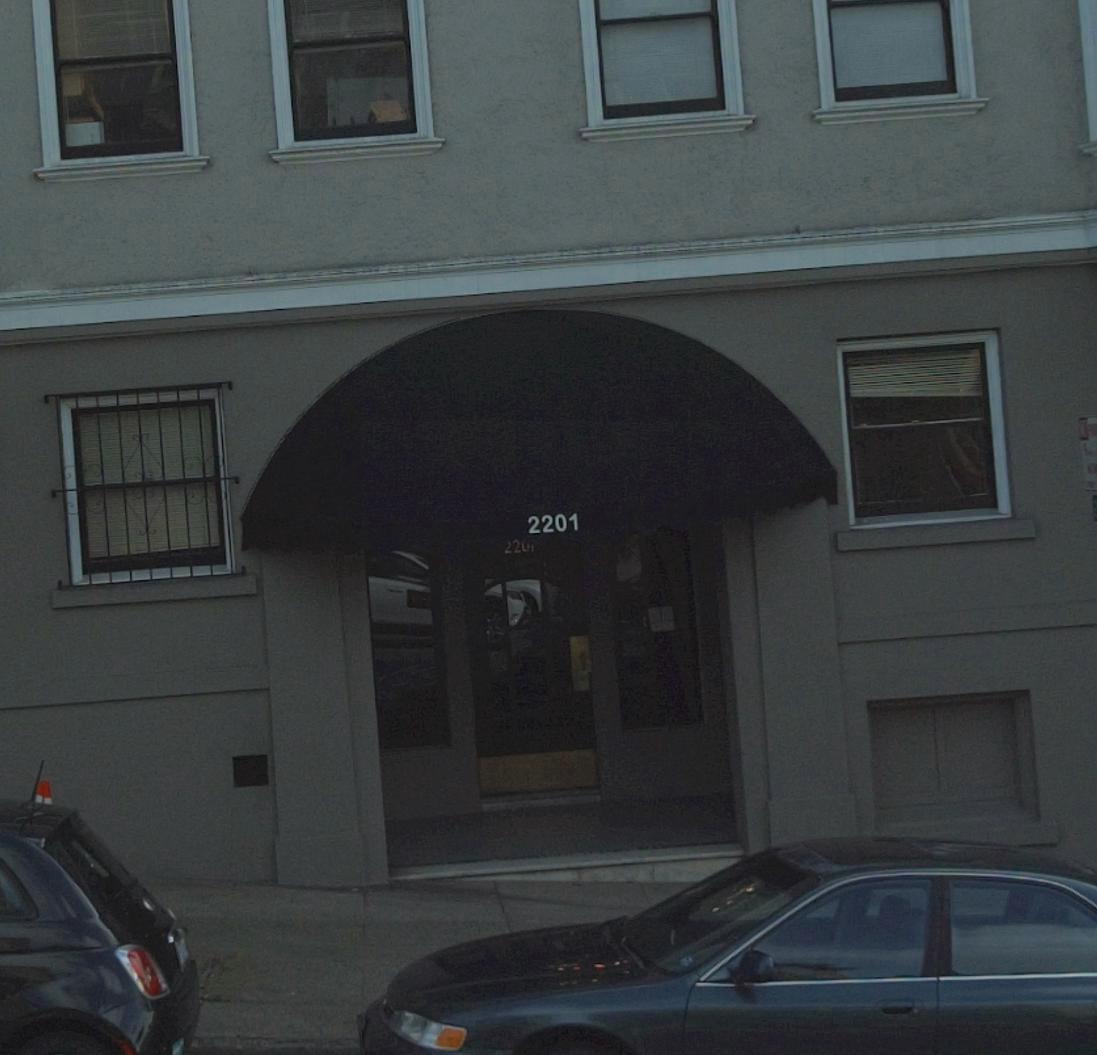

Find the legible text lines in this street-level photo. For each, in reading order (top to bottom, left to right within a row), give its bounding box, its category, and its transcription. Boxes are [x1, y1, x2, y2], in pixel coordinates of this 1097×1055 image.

[525, 510, 582, 537] StreetNumber: 2201
[502, 536, 538, 557] StreetNumber: *201